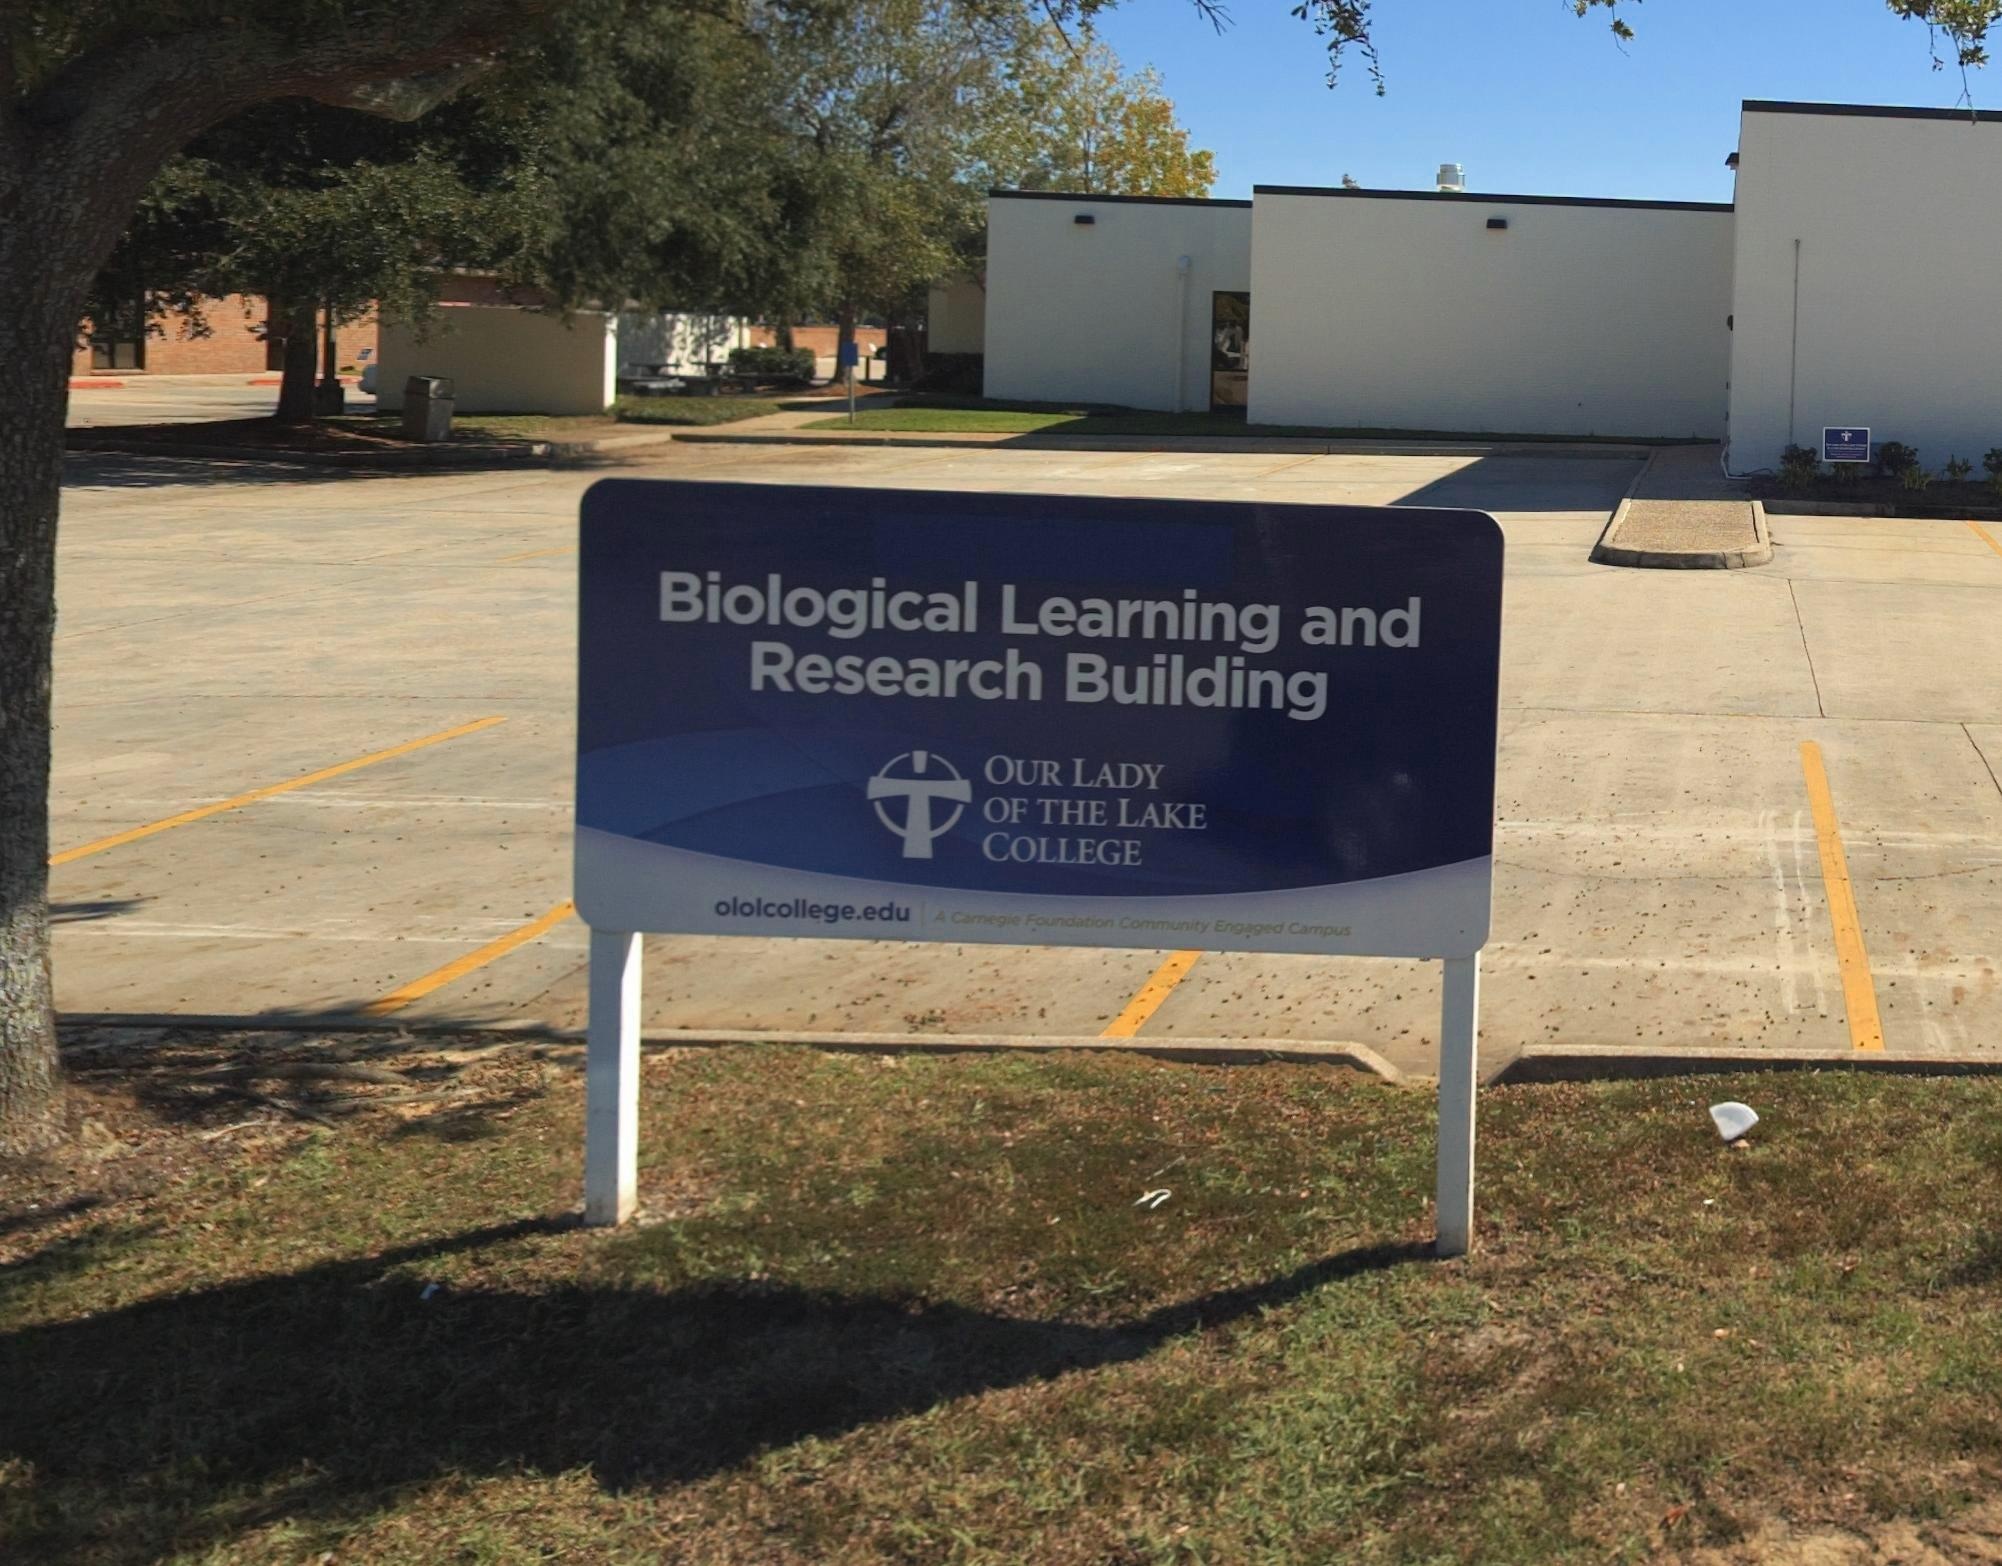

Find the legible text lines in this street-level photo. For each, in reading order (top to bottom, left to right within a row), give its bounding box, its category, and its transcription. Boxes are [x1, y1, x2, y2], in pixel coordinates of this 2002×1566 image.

[654, 564, 1427, 658] BusinessName: Biological Learning and
[747, 636, 1330, 723] BusinessName: Research Building
[979, 749, 1168, 796] BusinessName: OUR LADY
[979, 792, 1213, 833] BusinessName: OF THE LAKE
[979, 827, 1146, 872] BusinessName: COLLEGE
[713, 894, 914, 927] None: ololcollege.edu
[930, 907, 1354, 939] None: A Carnegie Foundation Community Engaged Campus